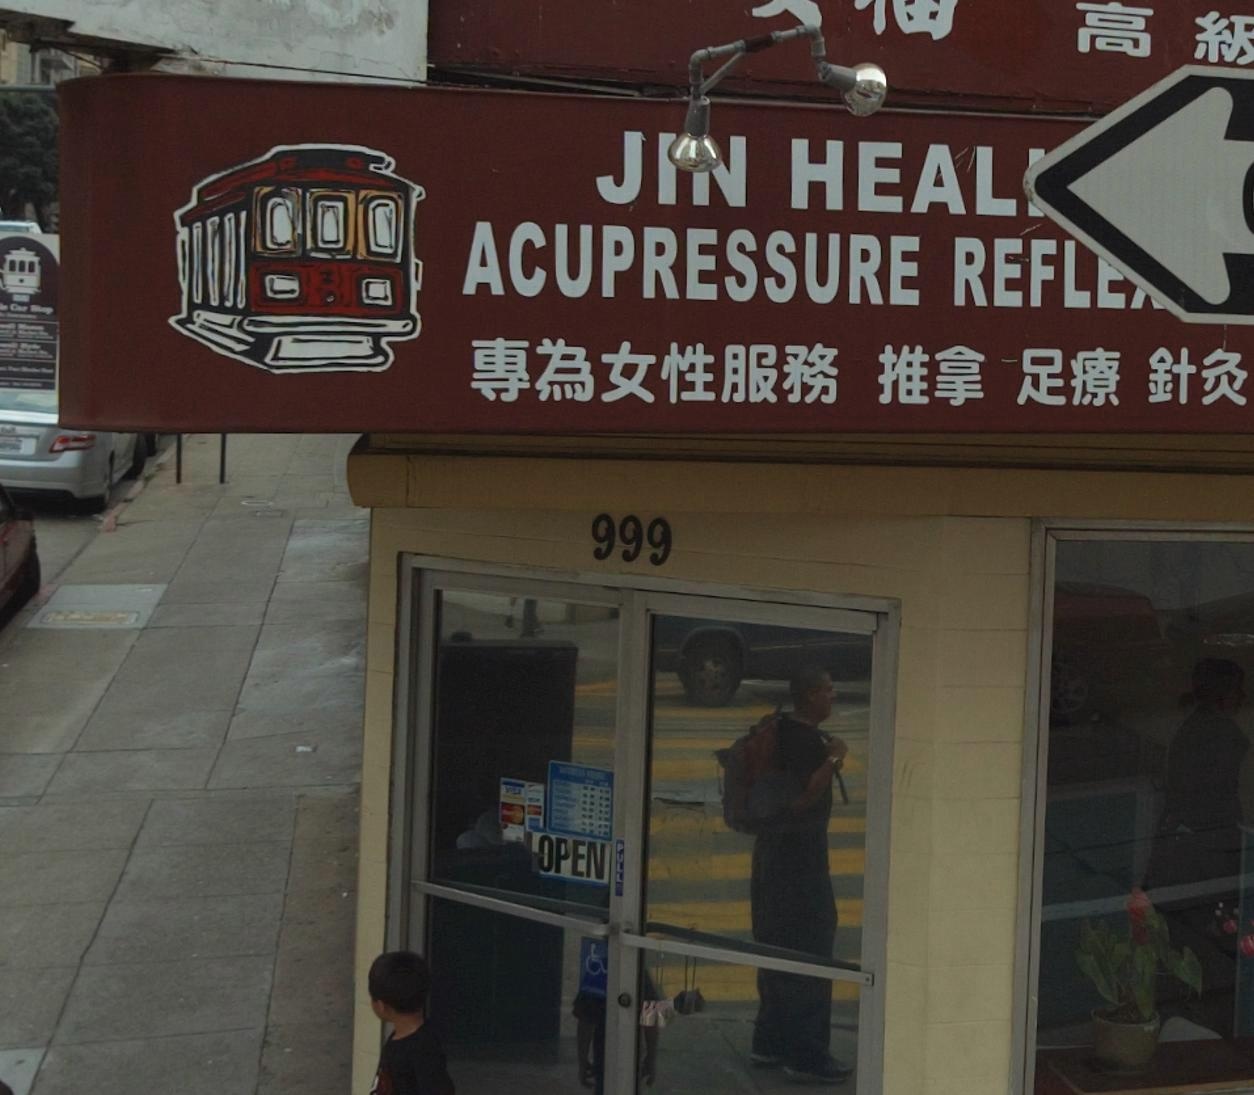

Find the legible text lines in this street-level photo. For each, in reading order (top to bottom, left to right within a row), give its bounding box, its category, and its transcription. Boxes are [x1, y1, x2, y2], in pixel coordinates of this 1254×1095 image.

[593, 127, 1018, 217] BusinessName: J** HEAL
[460, 219, 1093, 309] BusinessName: ACUPRESSURE REFL
[589, 511, 674, 569] StreetNumber: 999
[537, 832, 608, 882] None: OPEN
[615, 841, 625, 884] None: PULL